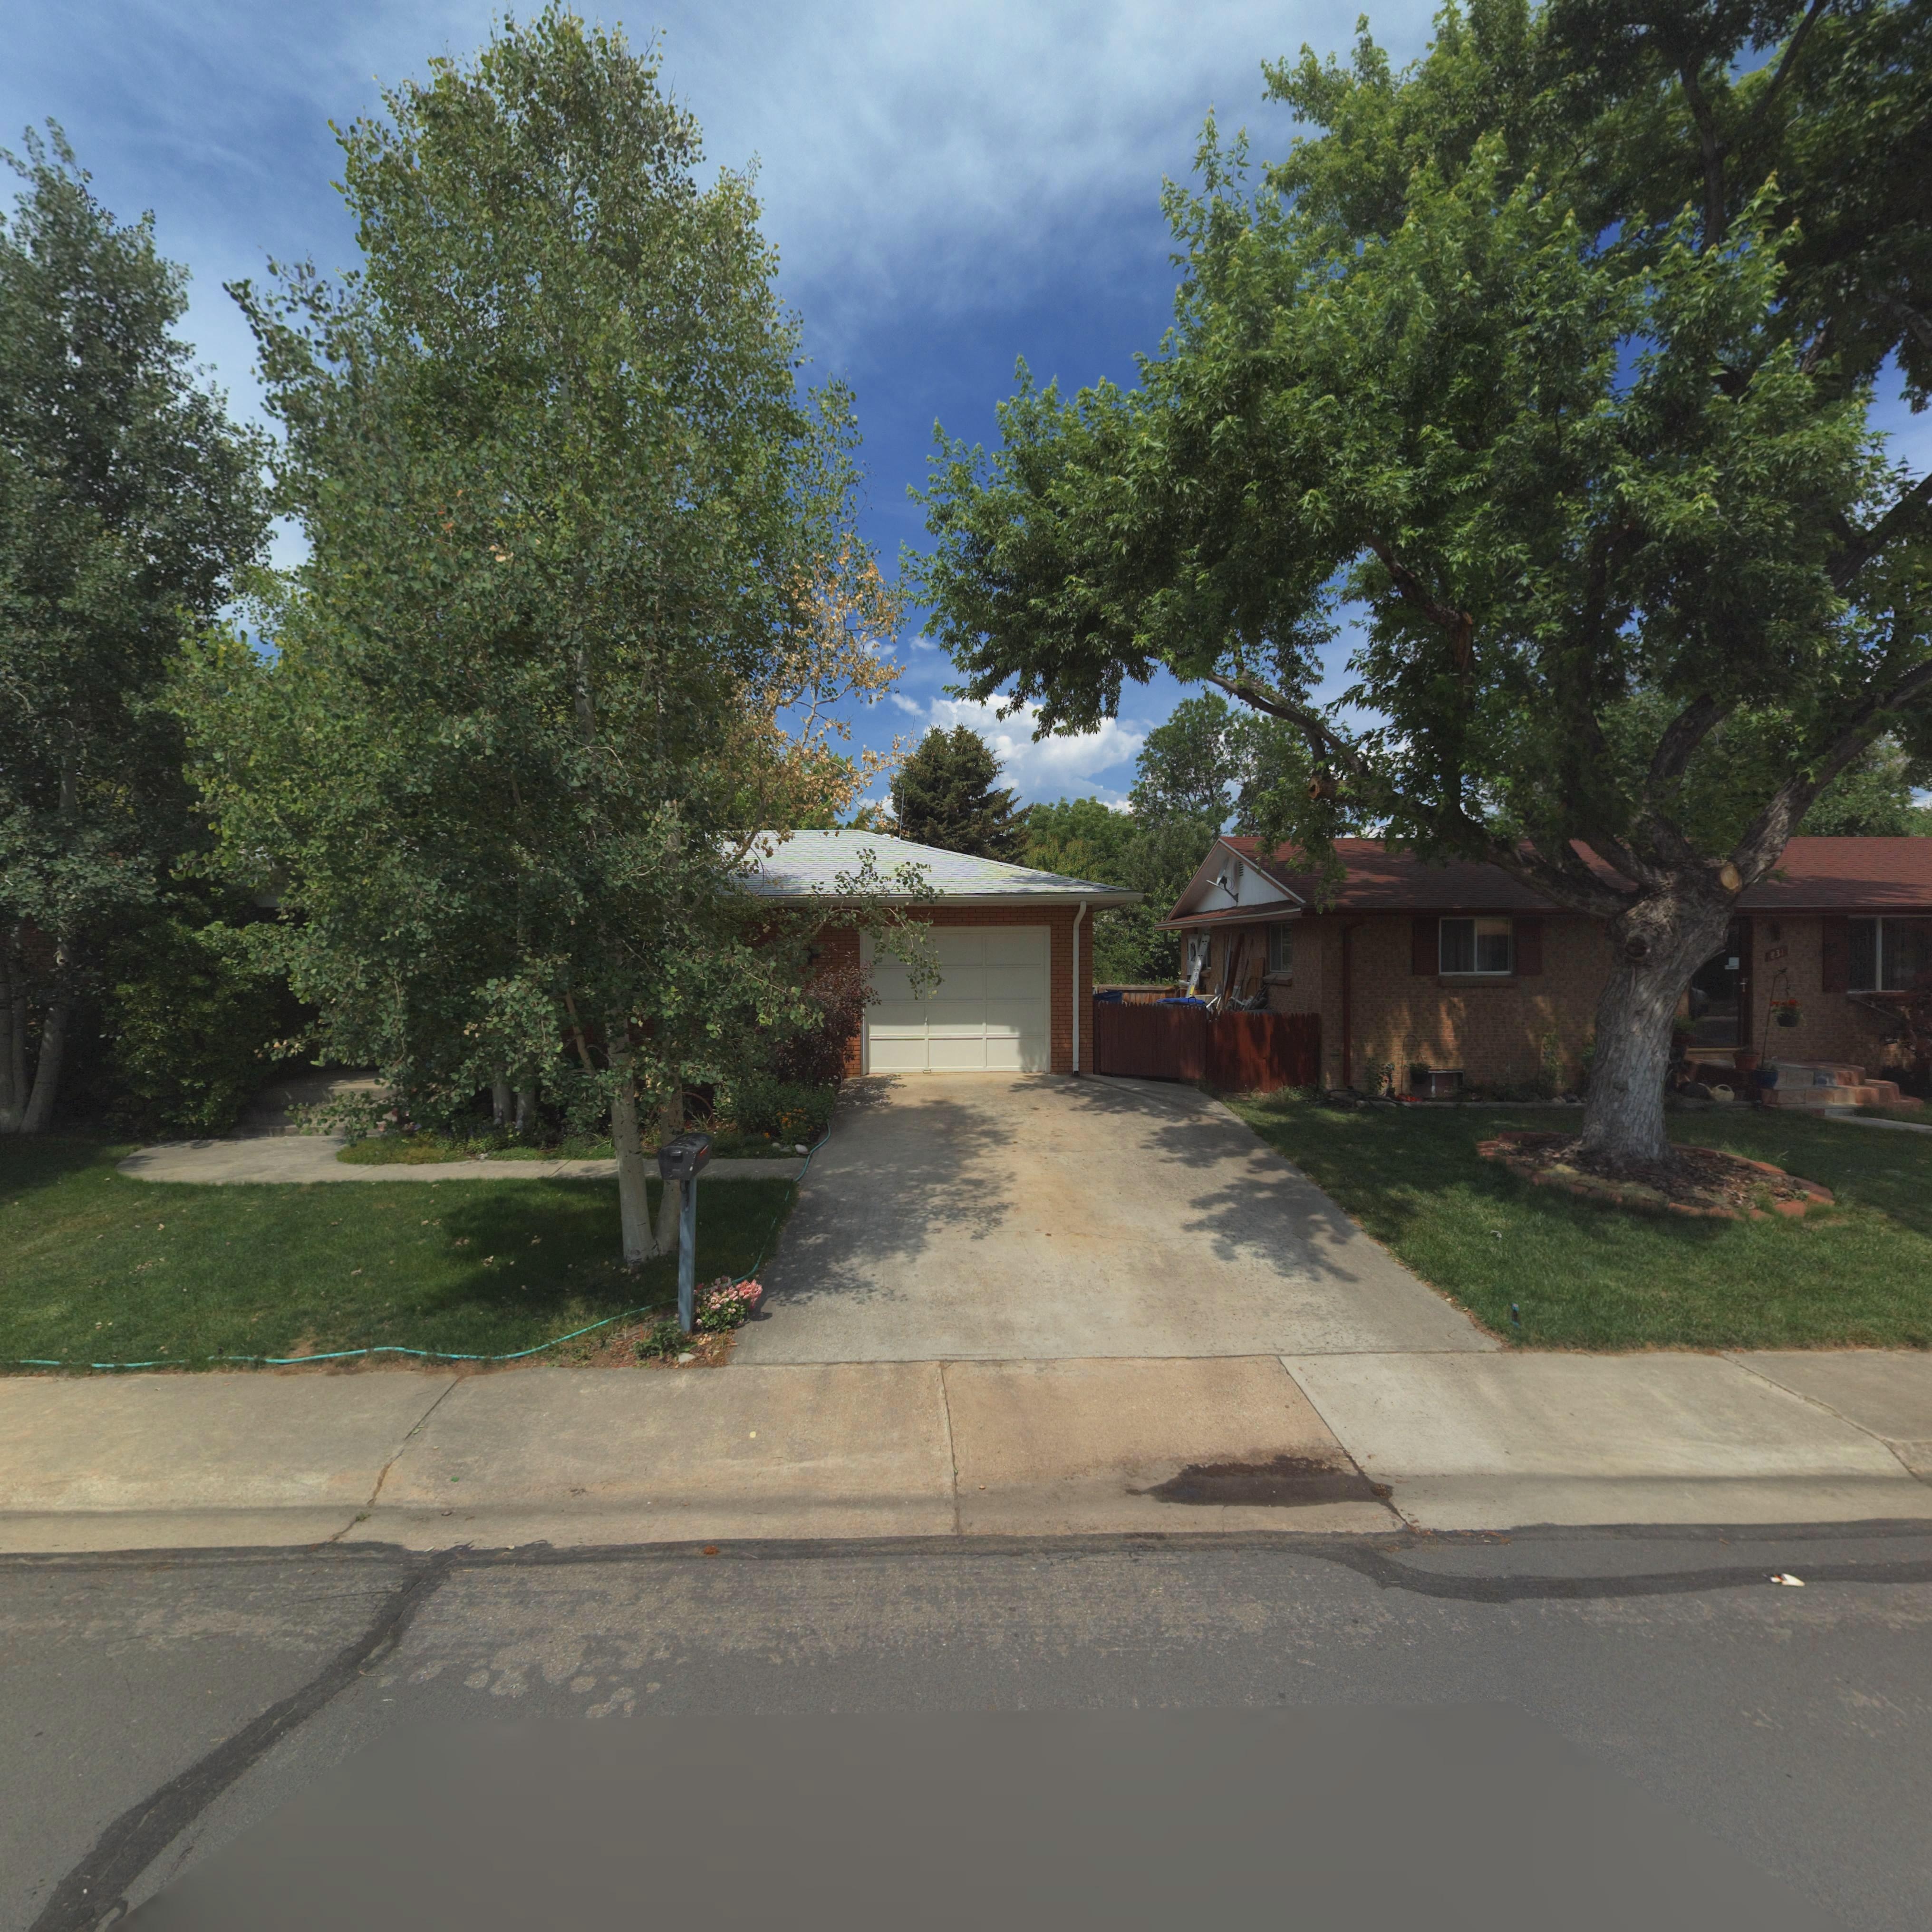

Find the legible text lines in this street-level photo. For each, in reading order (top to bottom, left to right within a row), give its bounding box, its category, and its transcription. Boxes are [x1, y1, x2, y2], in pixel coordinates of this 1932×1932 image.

[1770, 947, 1784, 959] StreetNumber: 831